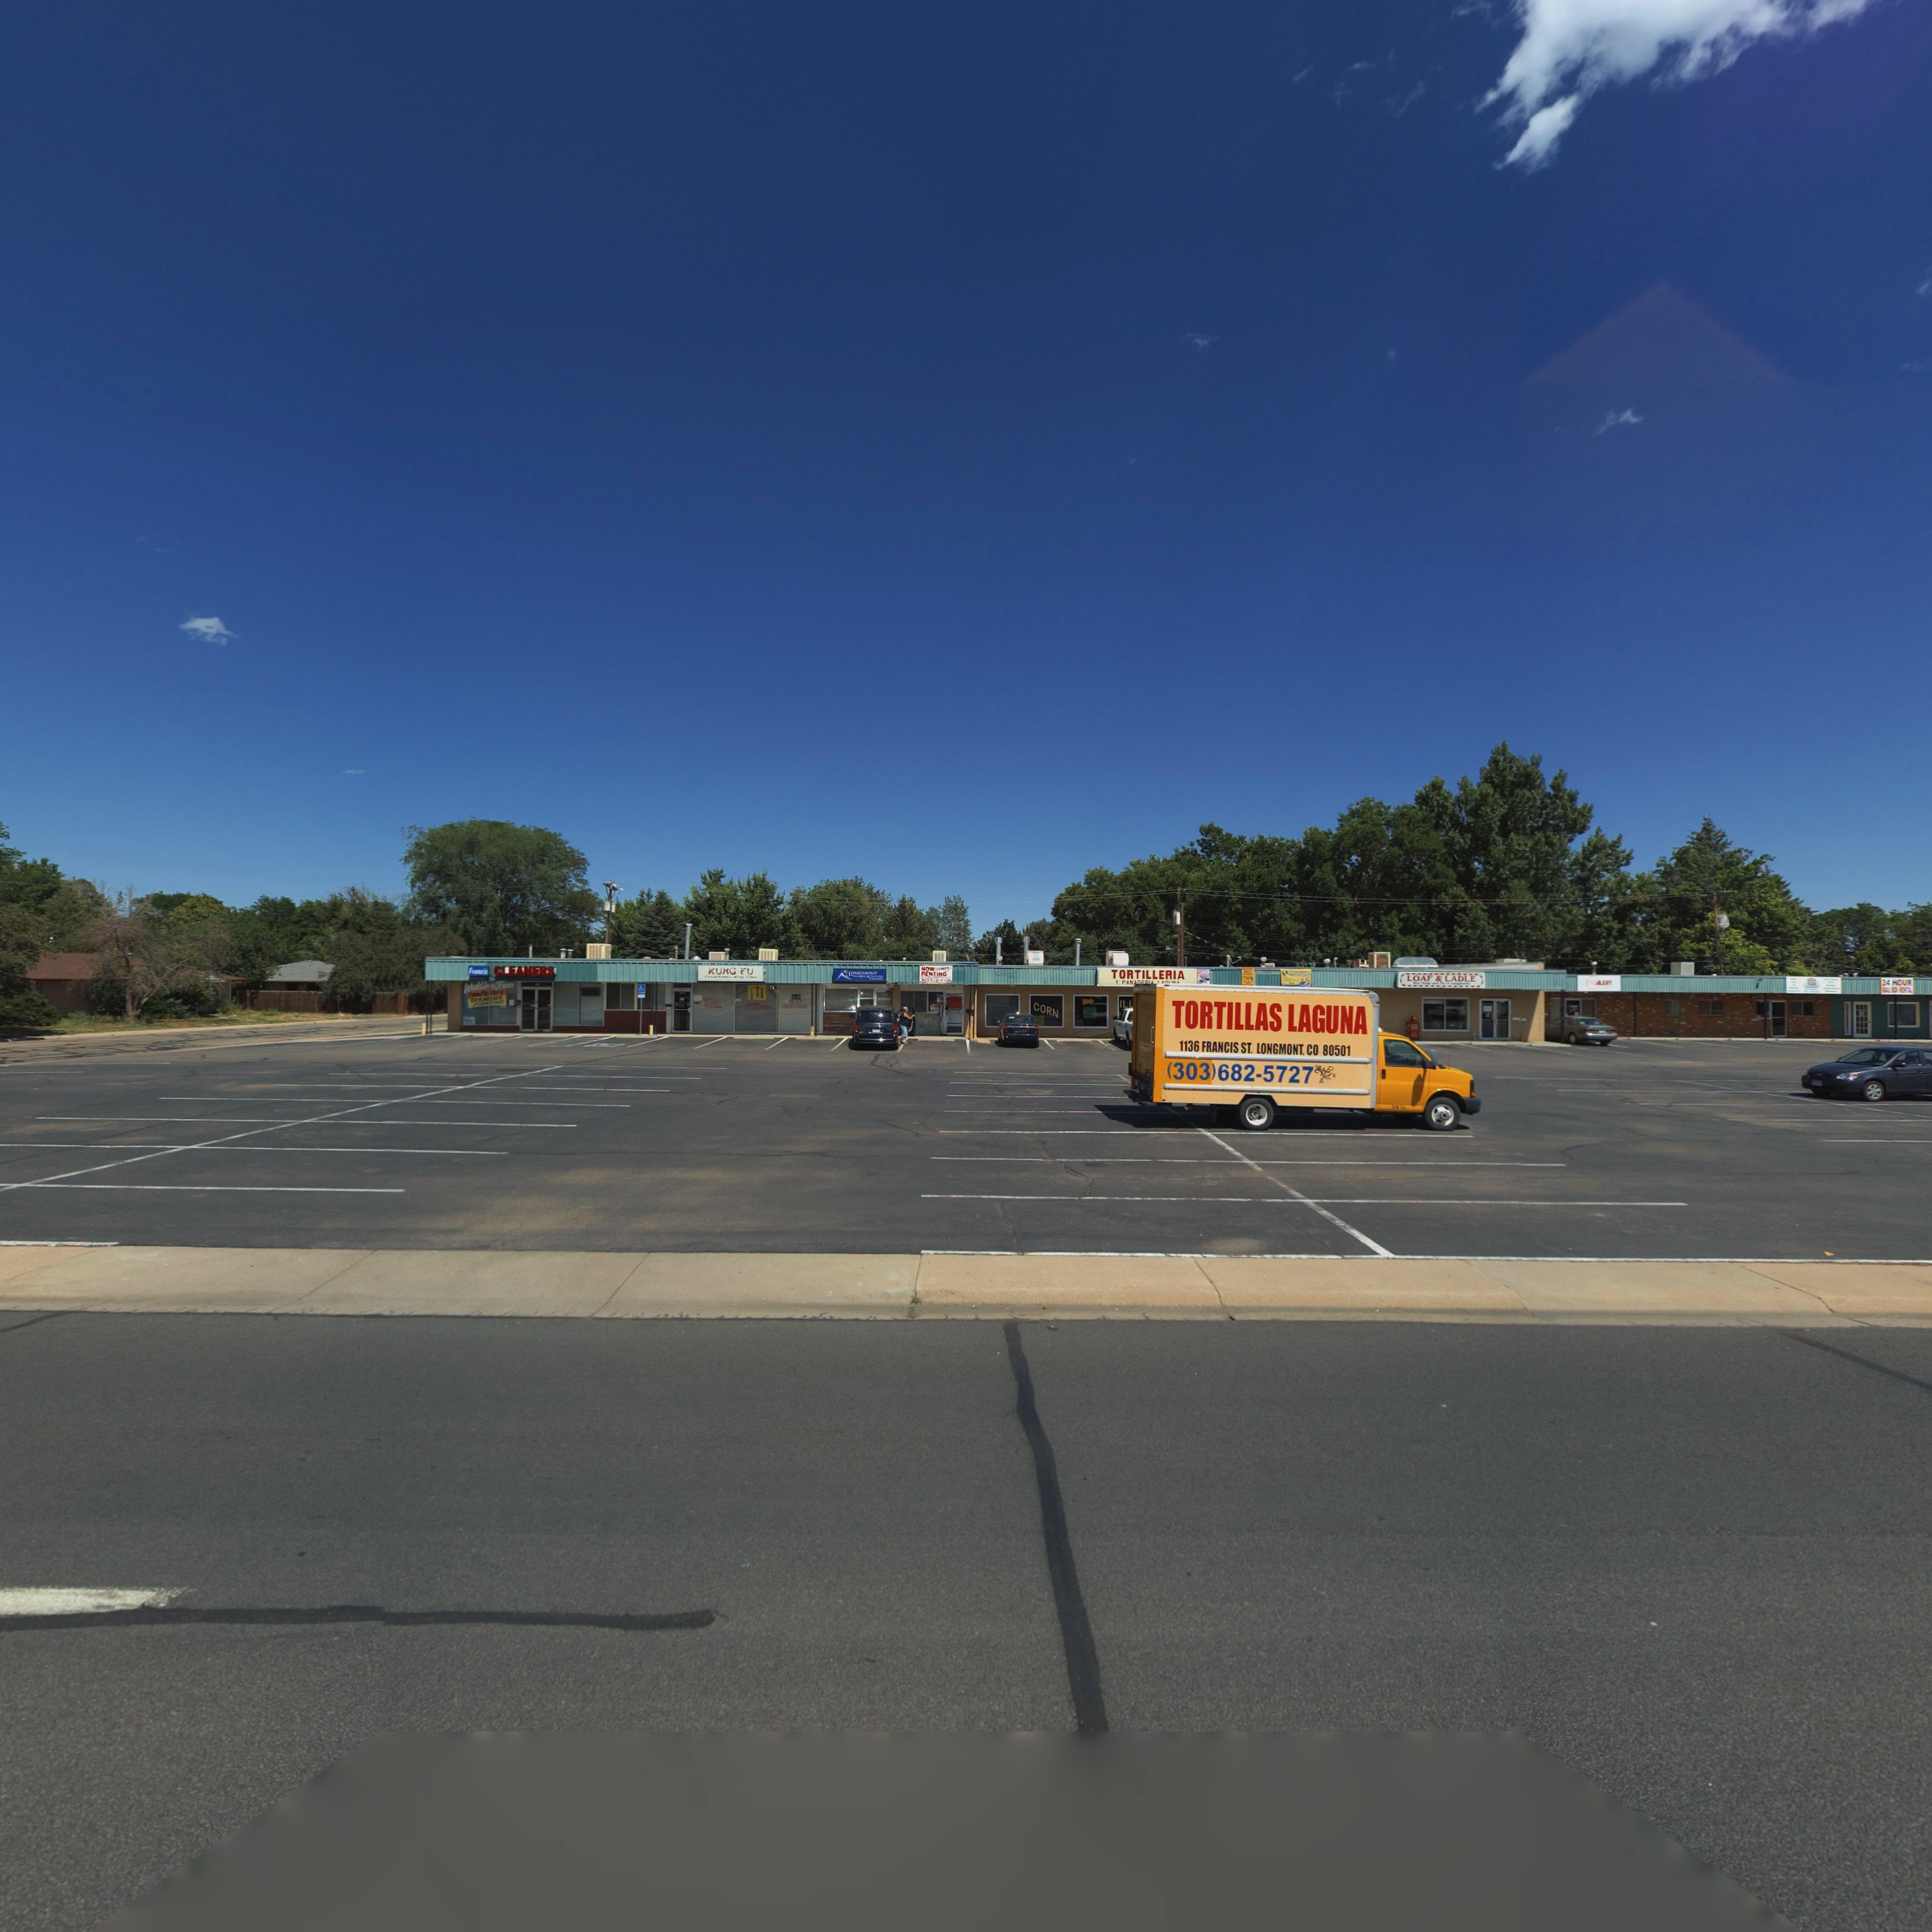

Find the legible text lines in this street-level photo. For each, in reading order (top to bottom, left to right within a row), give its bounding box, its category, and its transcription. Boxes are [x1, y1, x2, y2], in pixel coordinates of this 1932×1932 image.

[848, 971, 878, 976] BusinessName: LONGMONT
[1111, 969, 1185, 979] BusinessName: TORTILLERIA
[1407, 975, 1476, 982] BusinessName: LOAF & LADLE
[1594, 980, 1612, 985] BusinessName: ALERT